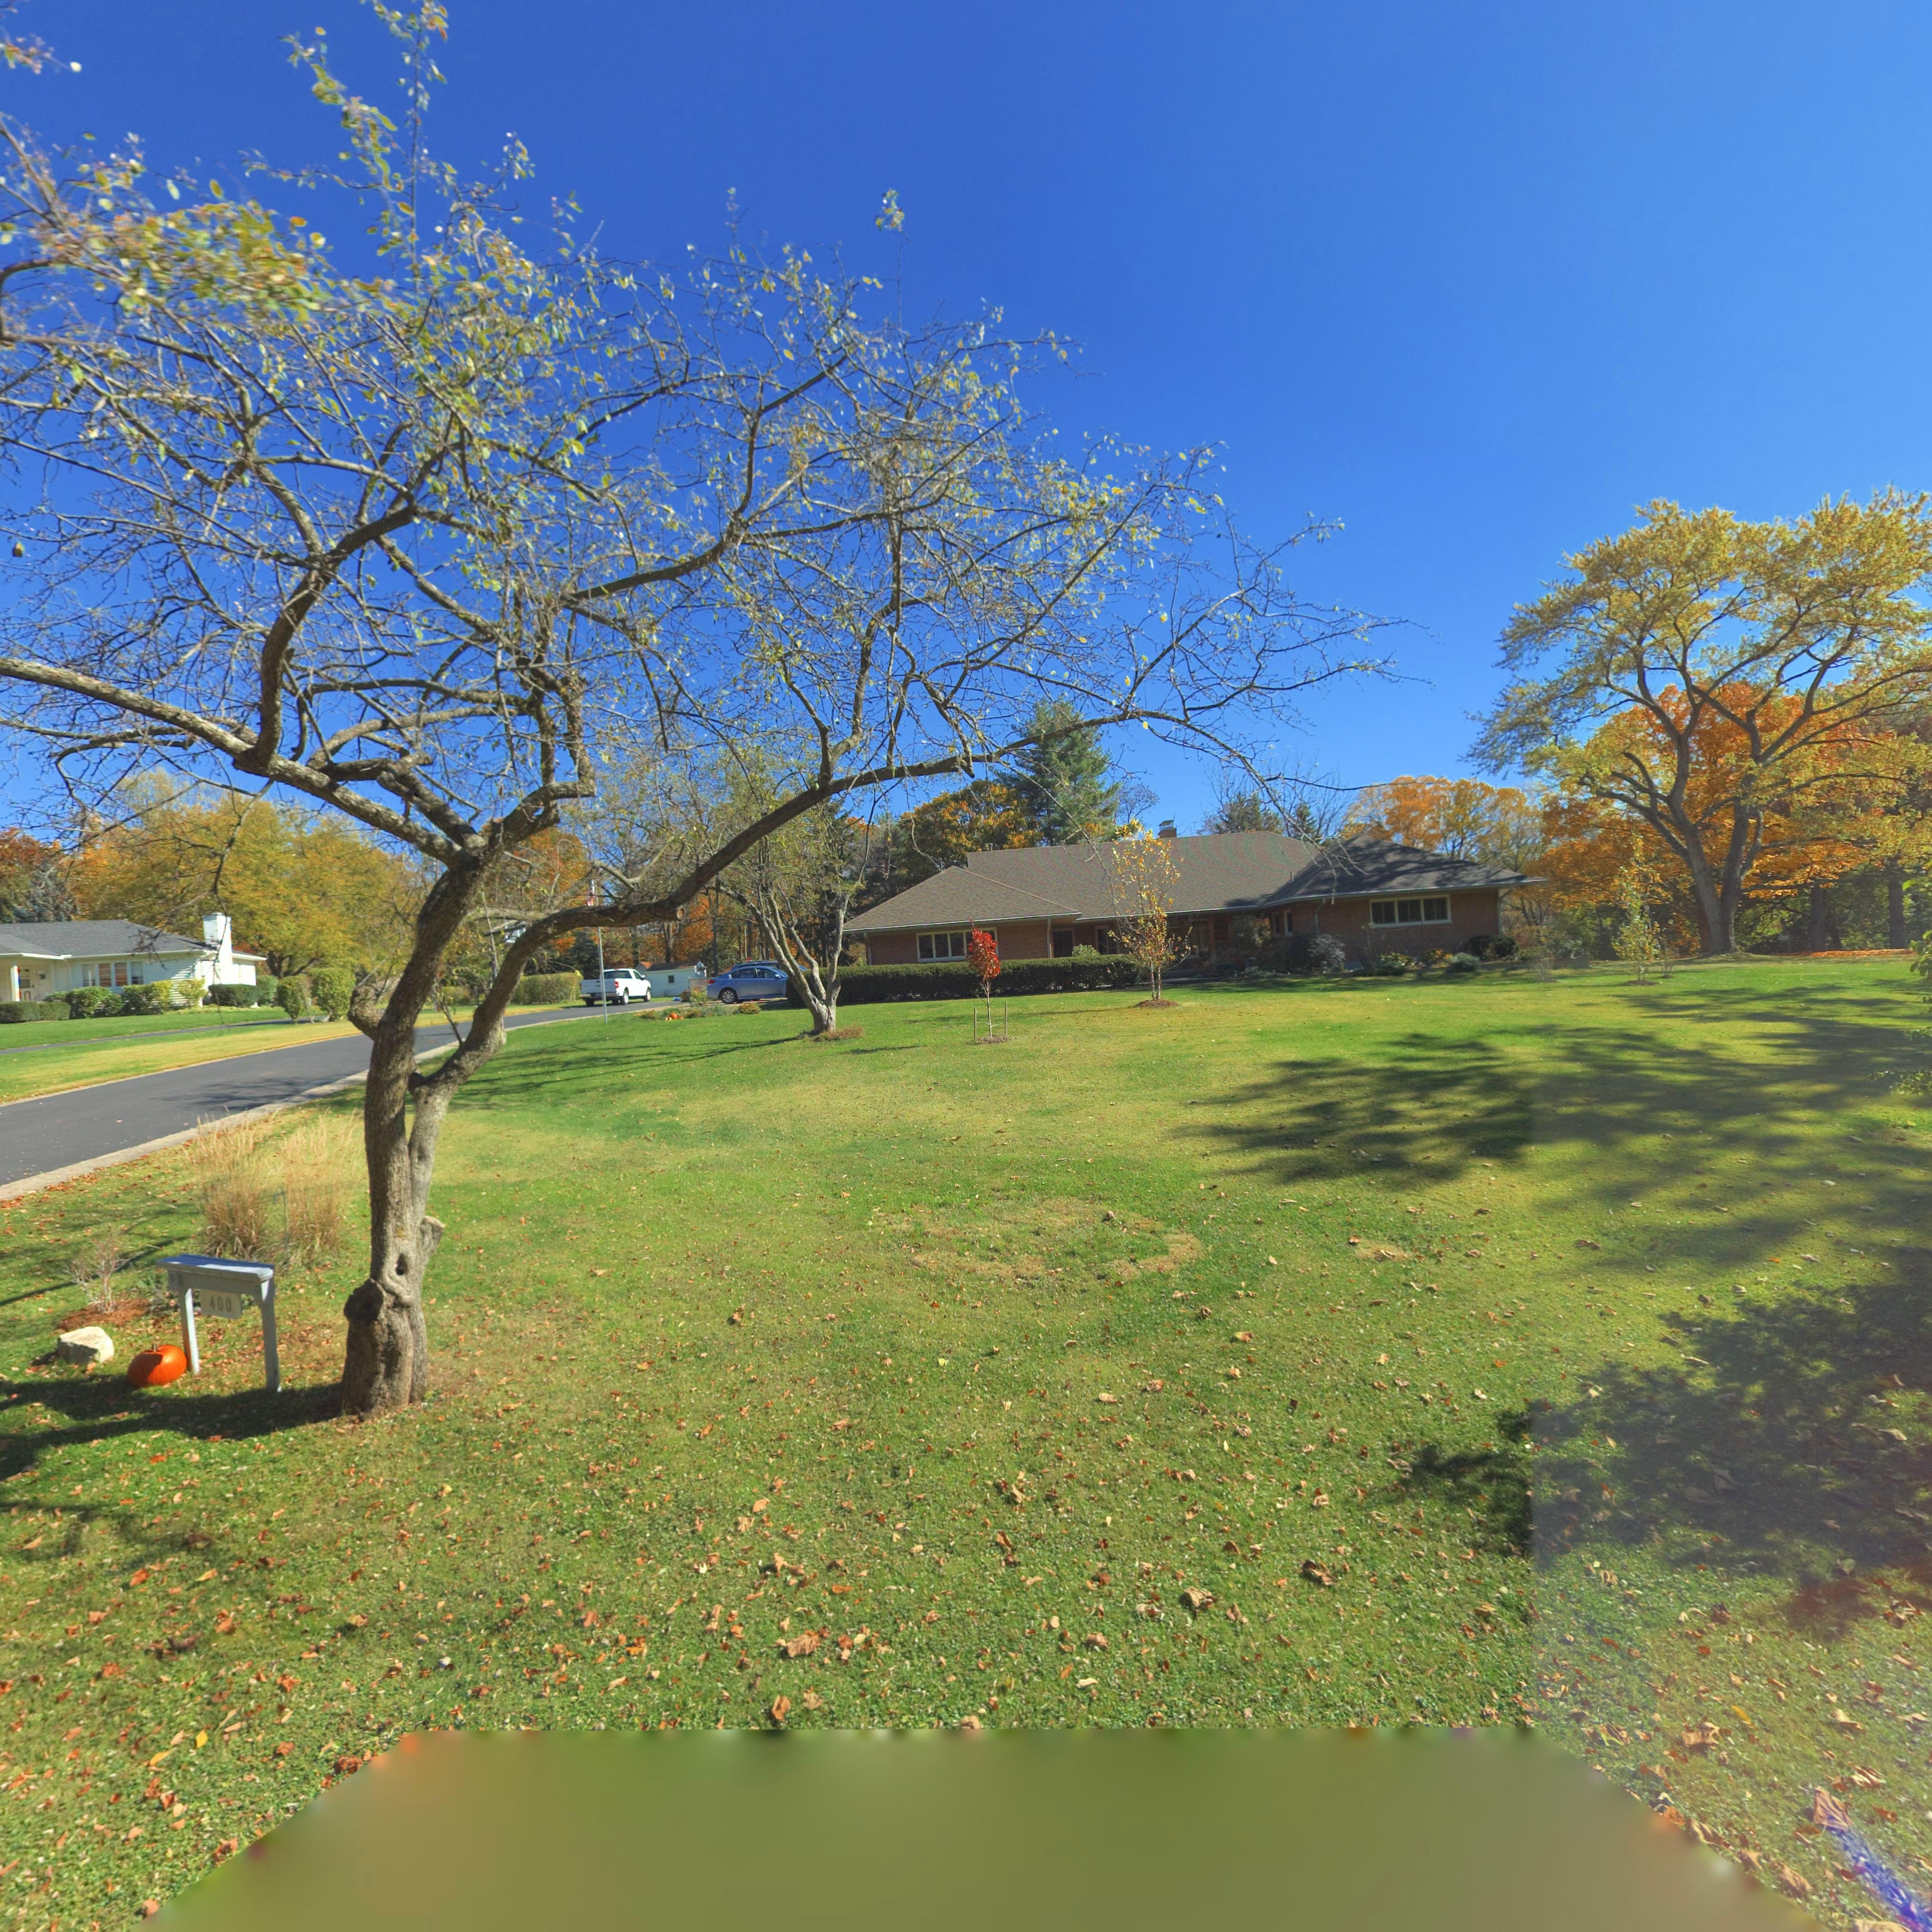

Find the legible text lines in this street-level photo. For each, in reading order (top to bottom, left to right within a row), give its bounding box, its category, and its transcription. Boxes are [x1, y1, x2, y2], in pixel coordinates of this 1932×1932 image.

[208, 1294, 232, 1313] StreetNumber: 400